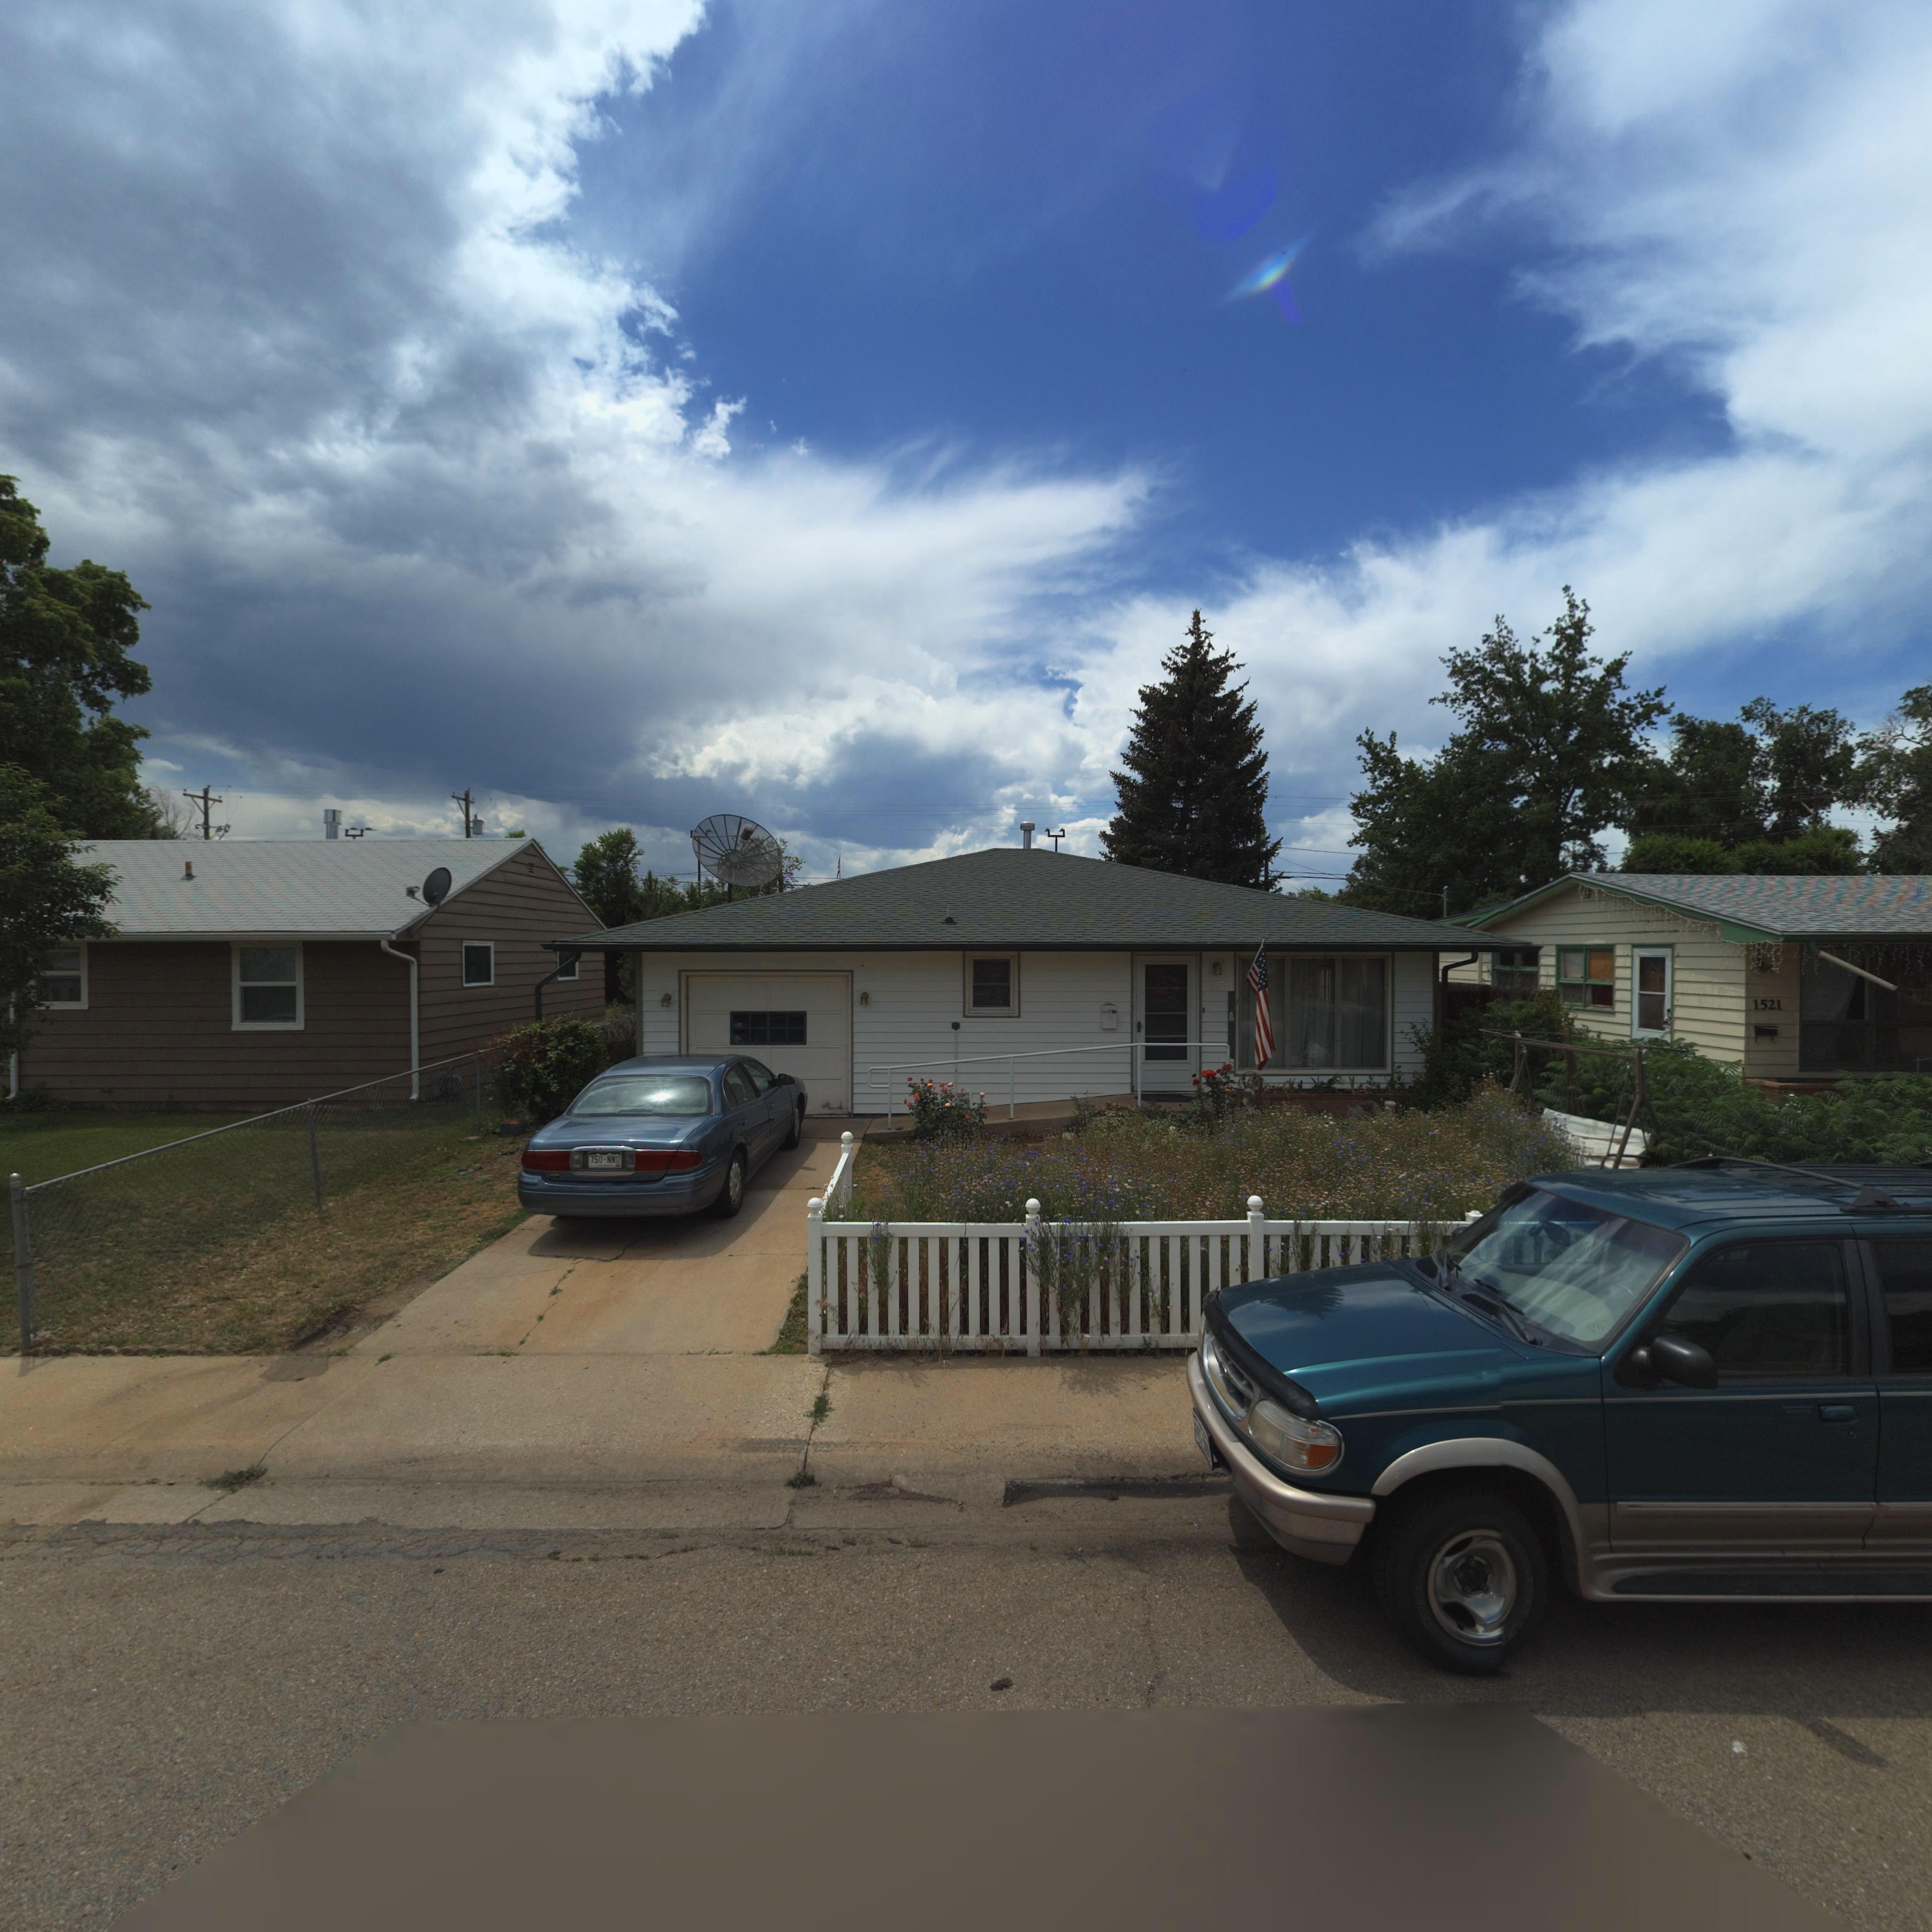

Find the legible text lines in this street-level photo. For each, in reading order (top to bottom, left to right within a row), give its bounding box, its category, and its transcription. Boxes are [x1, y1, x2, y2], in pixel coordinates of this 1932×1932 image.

[1208, 981, 1225, 990] StreetNumber: 1517
[1753, 998, 1782, 1010] StreetNumber: 1521